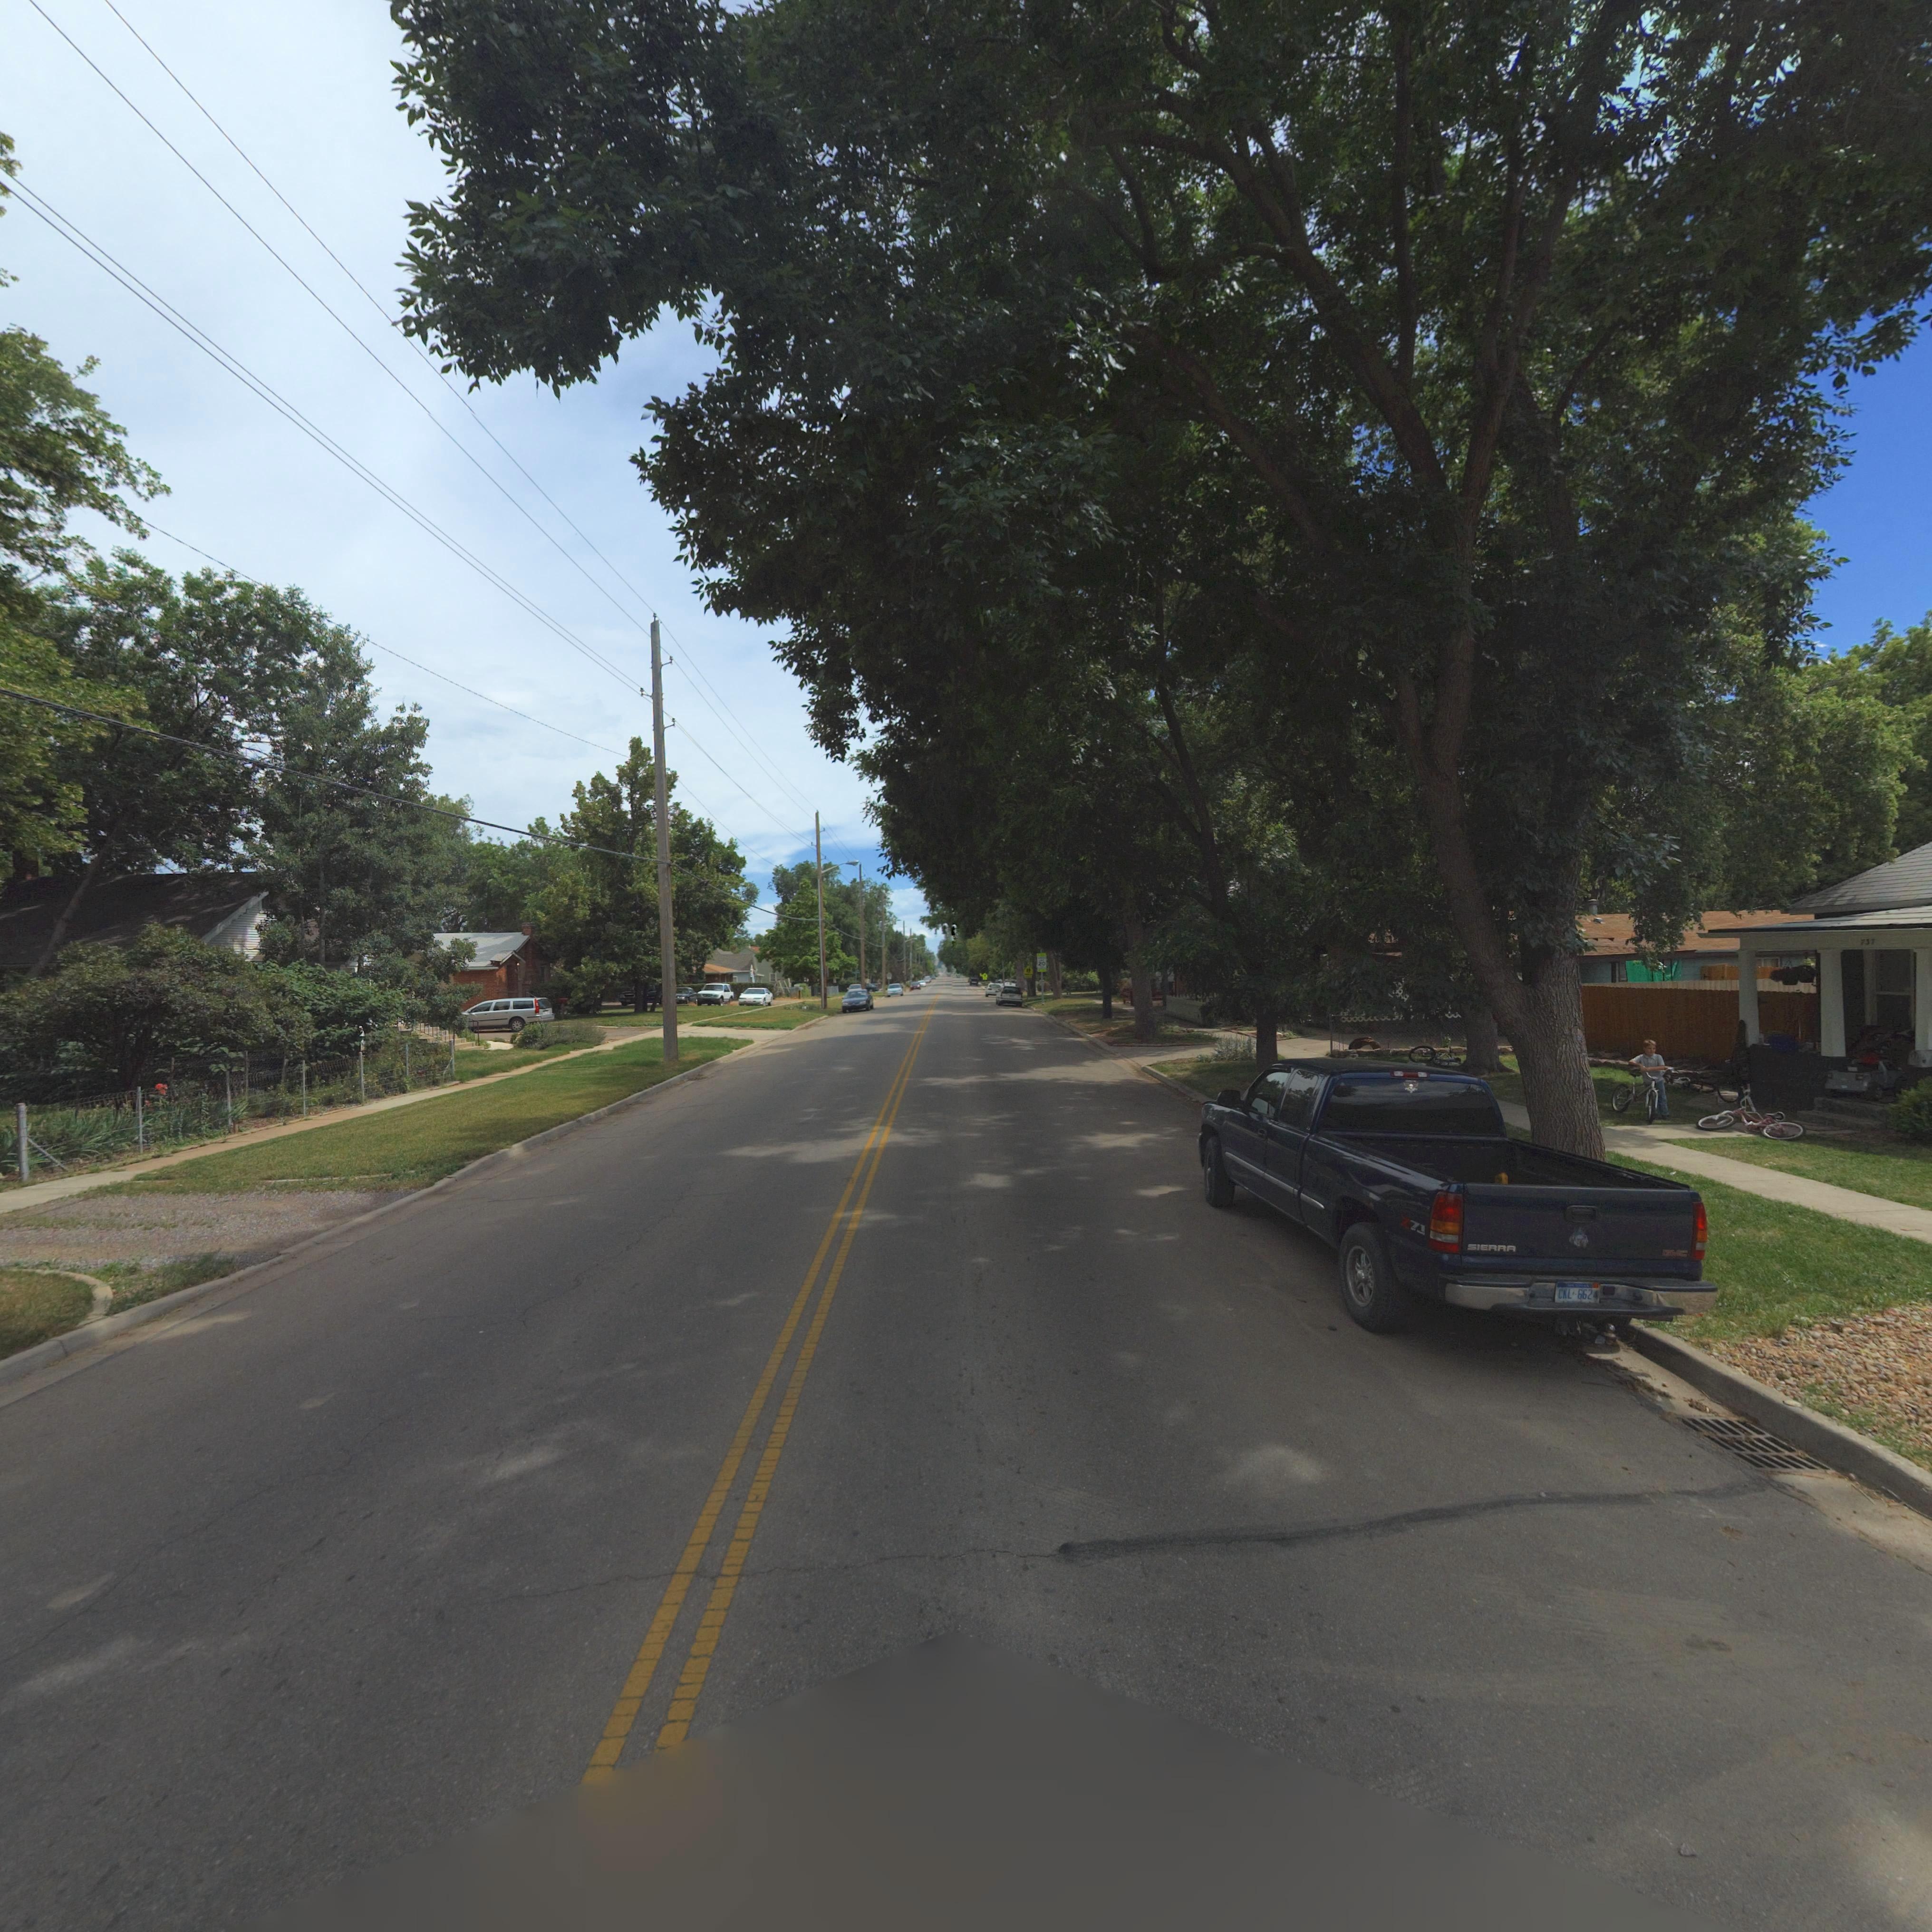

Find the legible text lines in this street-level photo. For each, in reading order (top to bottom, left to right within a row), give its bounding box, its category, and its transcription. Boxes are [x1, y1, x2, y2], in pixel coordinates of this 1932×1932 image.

[1861, 938, 1875, 946] StreetNumber: 737